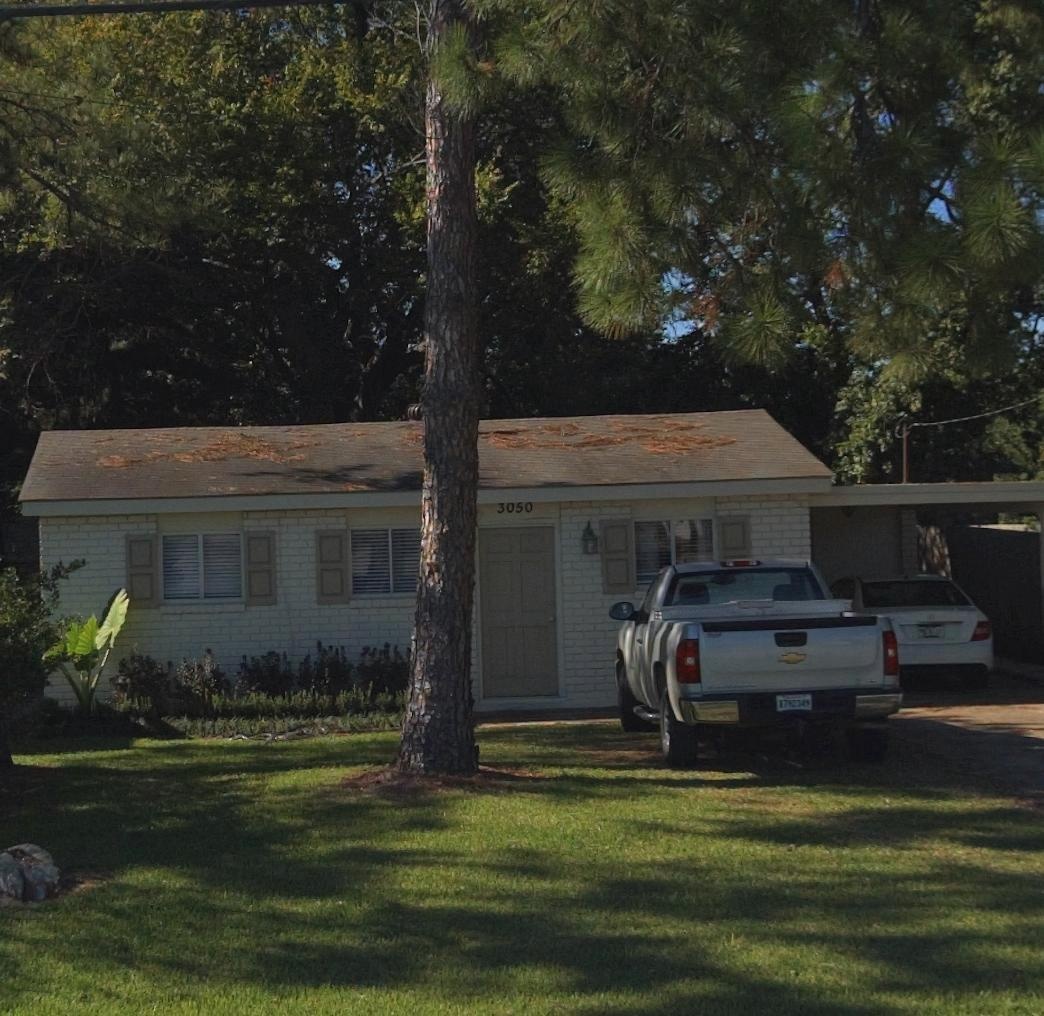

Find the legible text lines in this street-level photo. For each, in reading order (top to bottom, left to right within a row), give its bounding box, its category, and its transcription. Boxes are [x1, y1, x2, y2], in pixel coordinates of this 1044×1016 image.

[496, 500, 535, 516] StreetNumber: 3050
[776, 696, 813, 711] None: *7**349